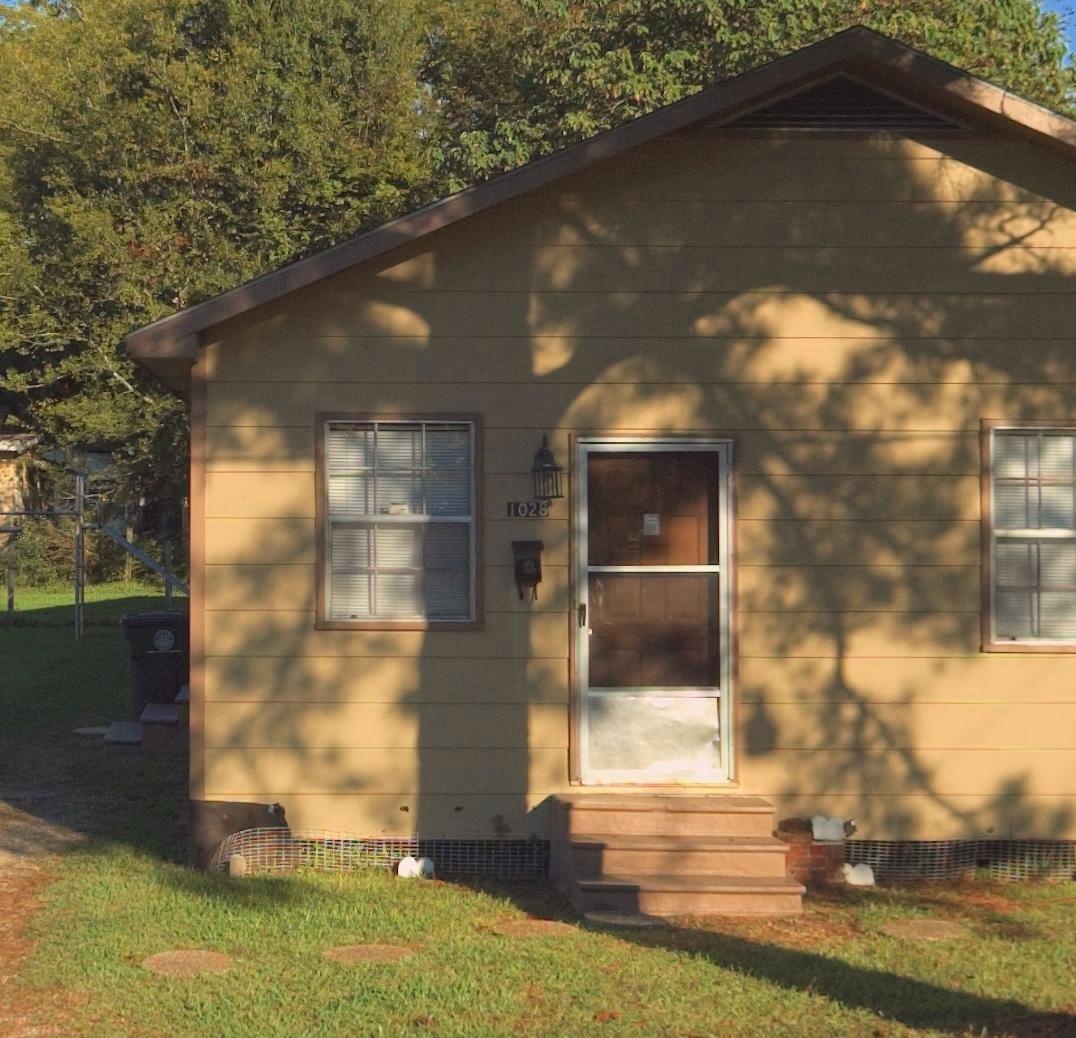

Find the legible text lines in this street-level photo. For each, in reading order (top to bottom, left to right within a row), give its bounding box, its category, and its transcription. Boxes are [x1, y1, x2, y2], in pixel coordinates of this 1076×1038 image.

[508, 500, 550, 518] StreetNumber: 1028